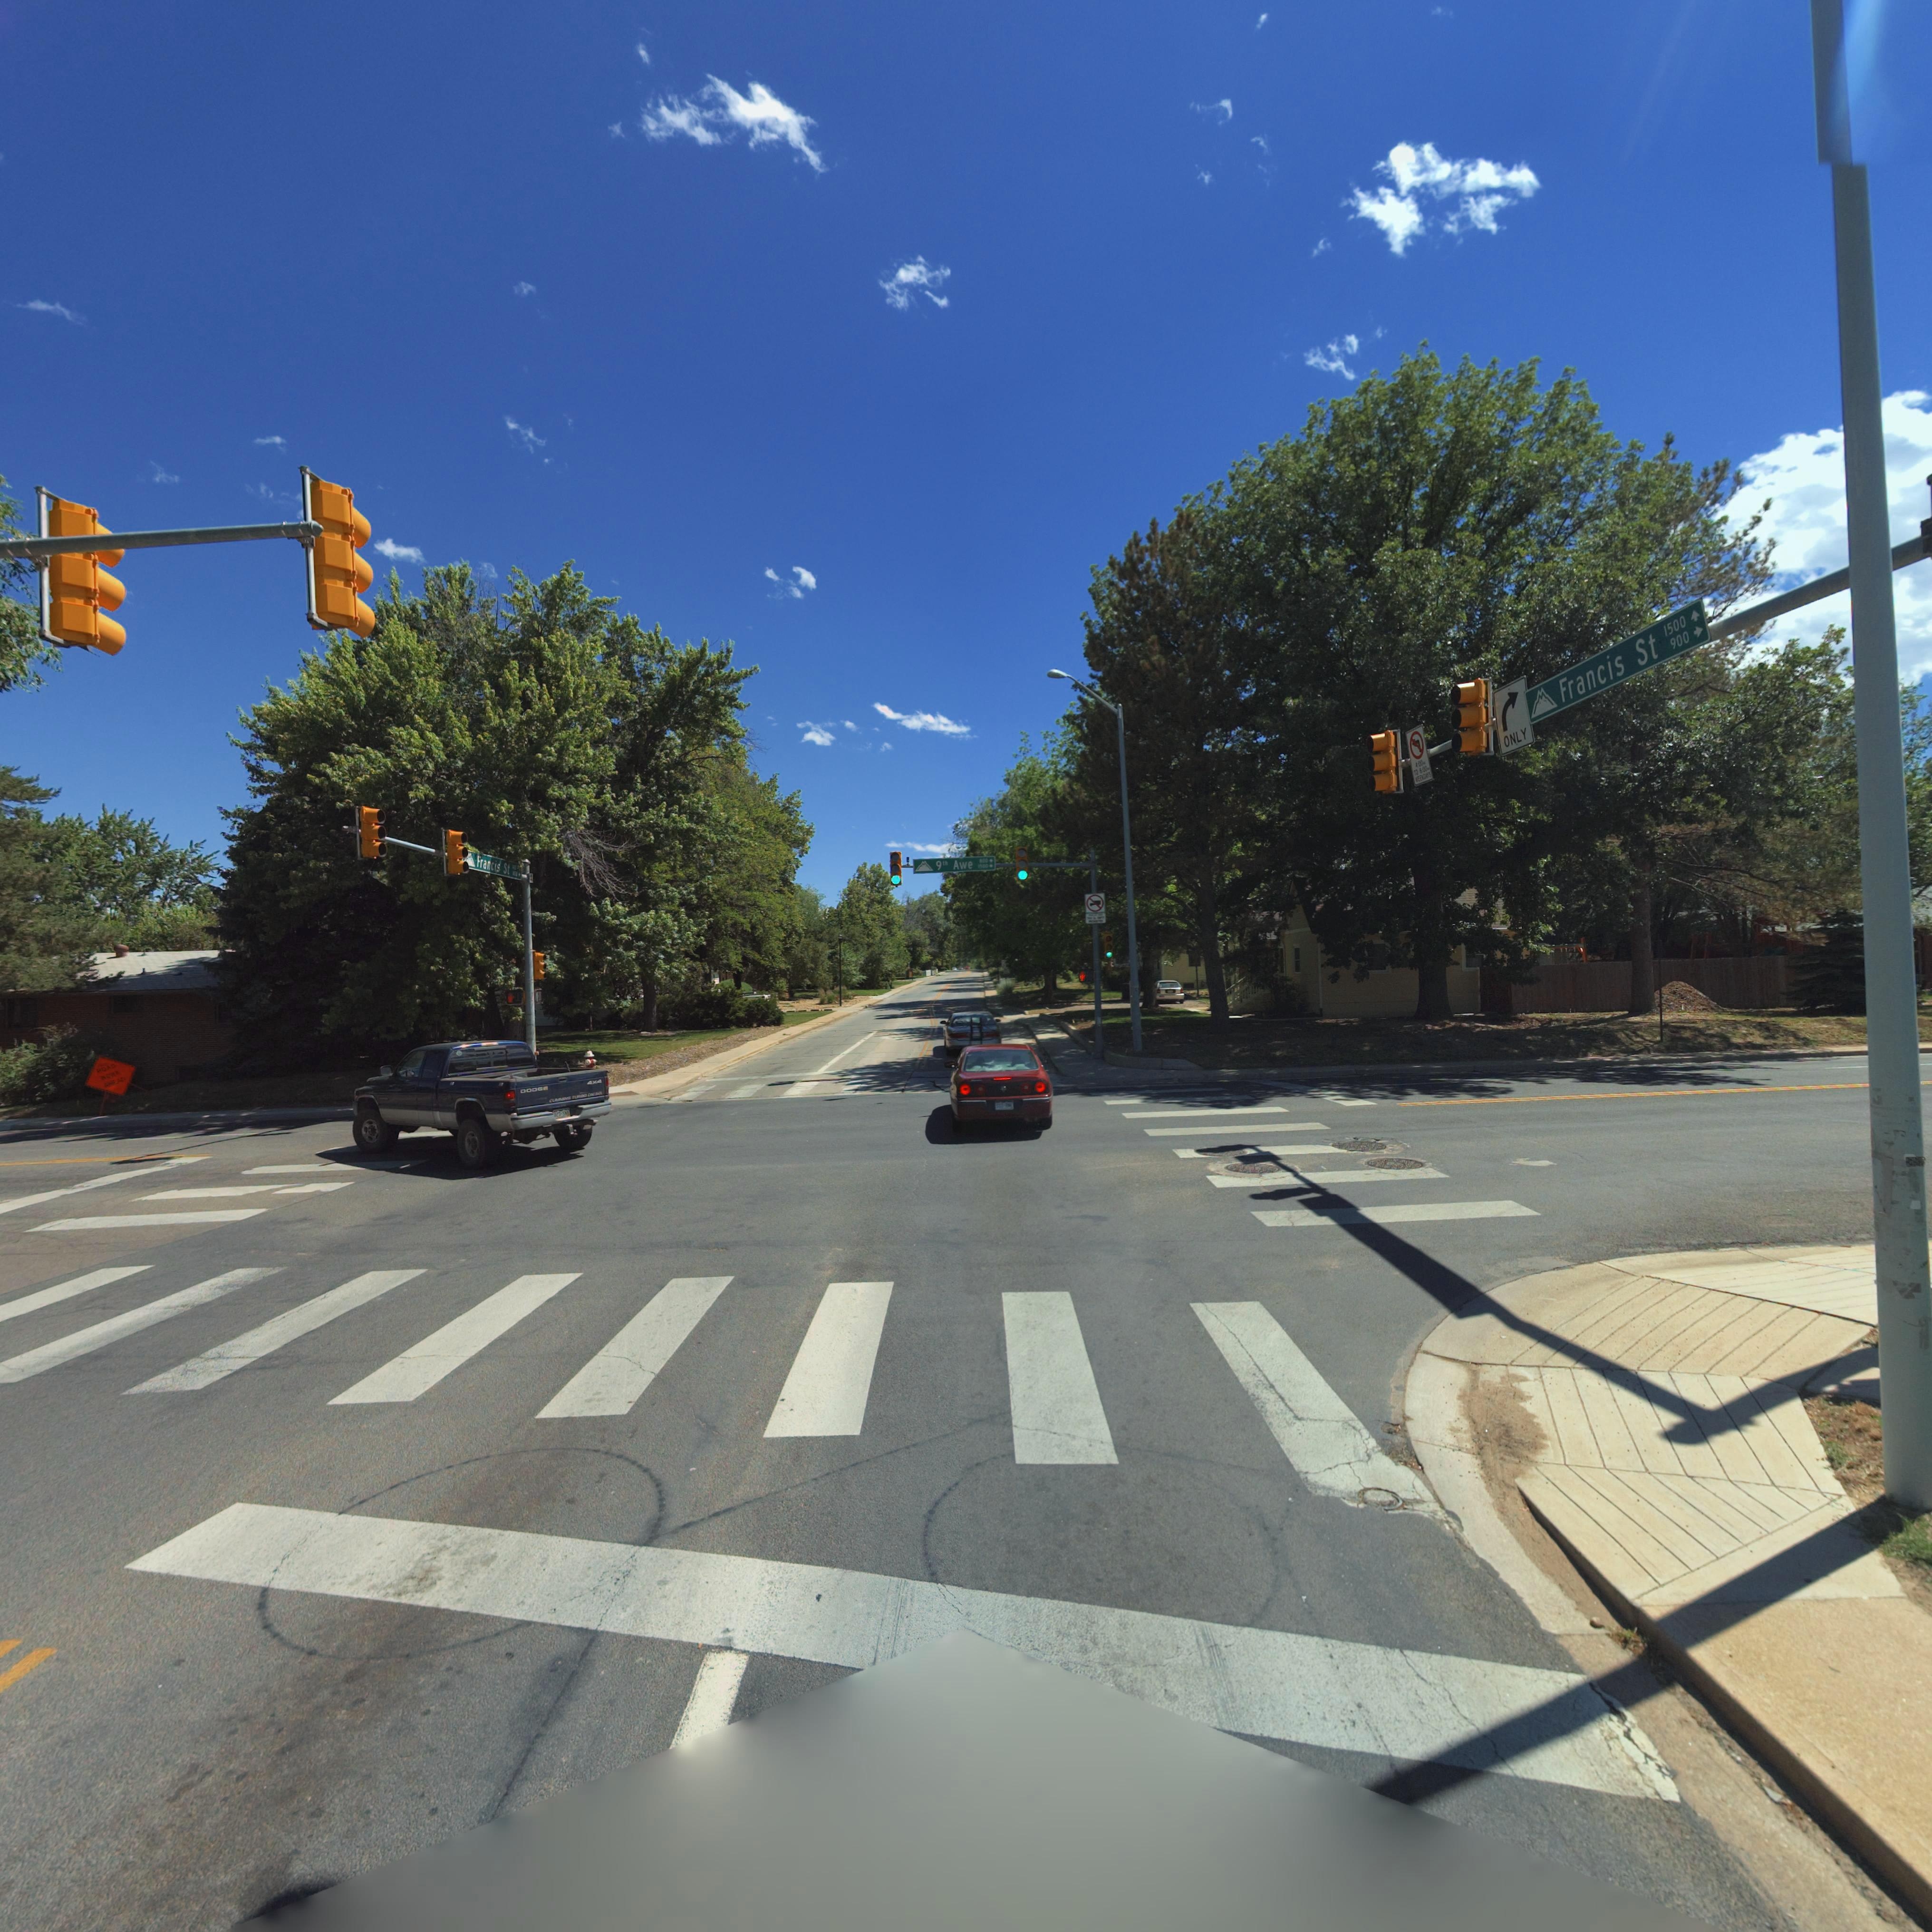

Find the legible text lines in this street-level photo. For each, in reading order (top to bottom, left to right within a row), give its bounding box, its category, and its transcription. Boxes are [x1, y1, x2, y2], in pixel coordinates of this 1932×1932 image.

[1663, 615, 1686, 637] StreetNumberRange: 1500
[1670, 626, 1704, 649] StreetNumberRange: 900->
[1558, 632, 1658, 703] StreetName: Francis St
[476, 855, 510, 875] StreetName: Francis St
[936, 860, 973, 870] StreetNumber: 9*h Awe
[977, 863, 989, 869] StreetNumberRange: 1*00
[979, 858, 988, 863] StreetNumberRange: **0